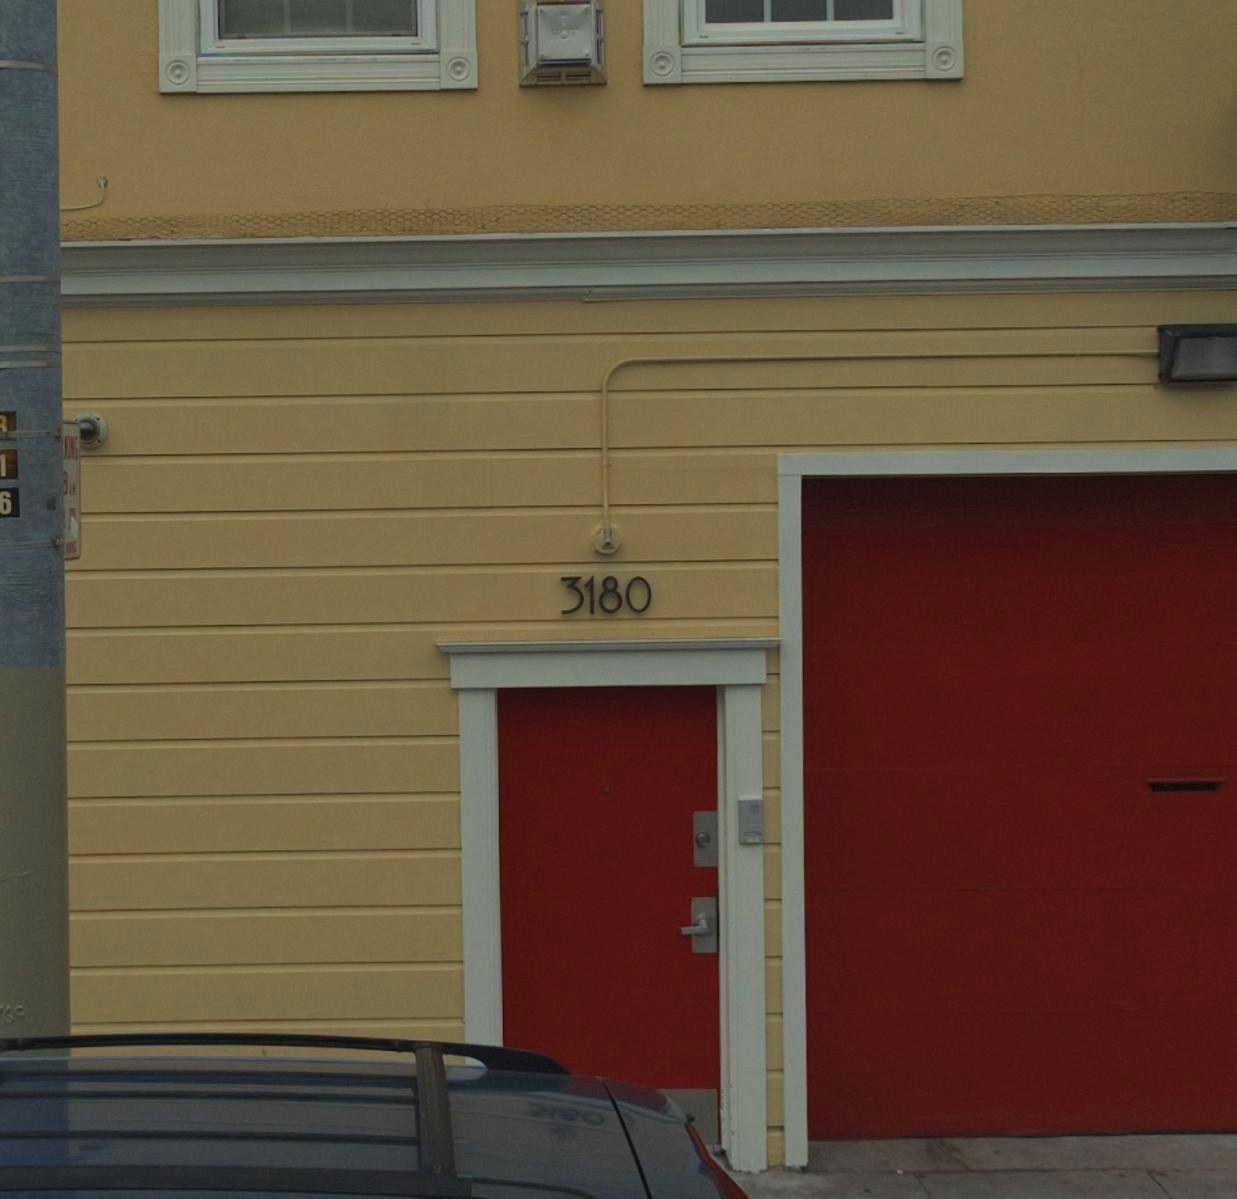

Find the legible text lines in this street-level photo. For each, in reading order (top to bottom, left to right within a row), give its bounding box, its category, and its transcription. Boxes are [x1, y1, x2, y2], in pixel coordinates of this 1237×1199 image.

[558, 573, 653, 616] StreetNumber: 3180